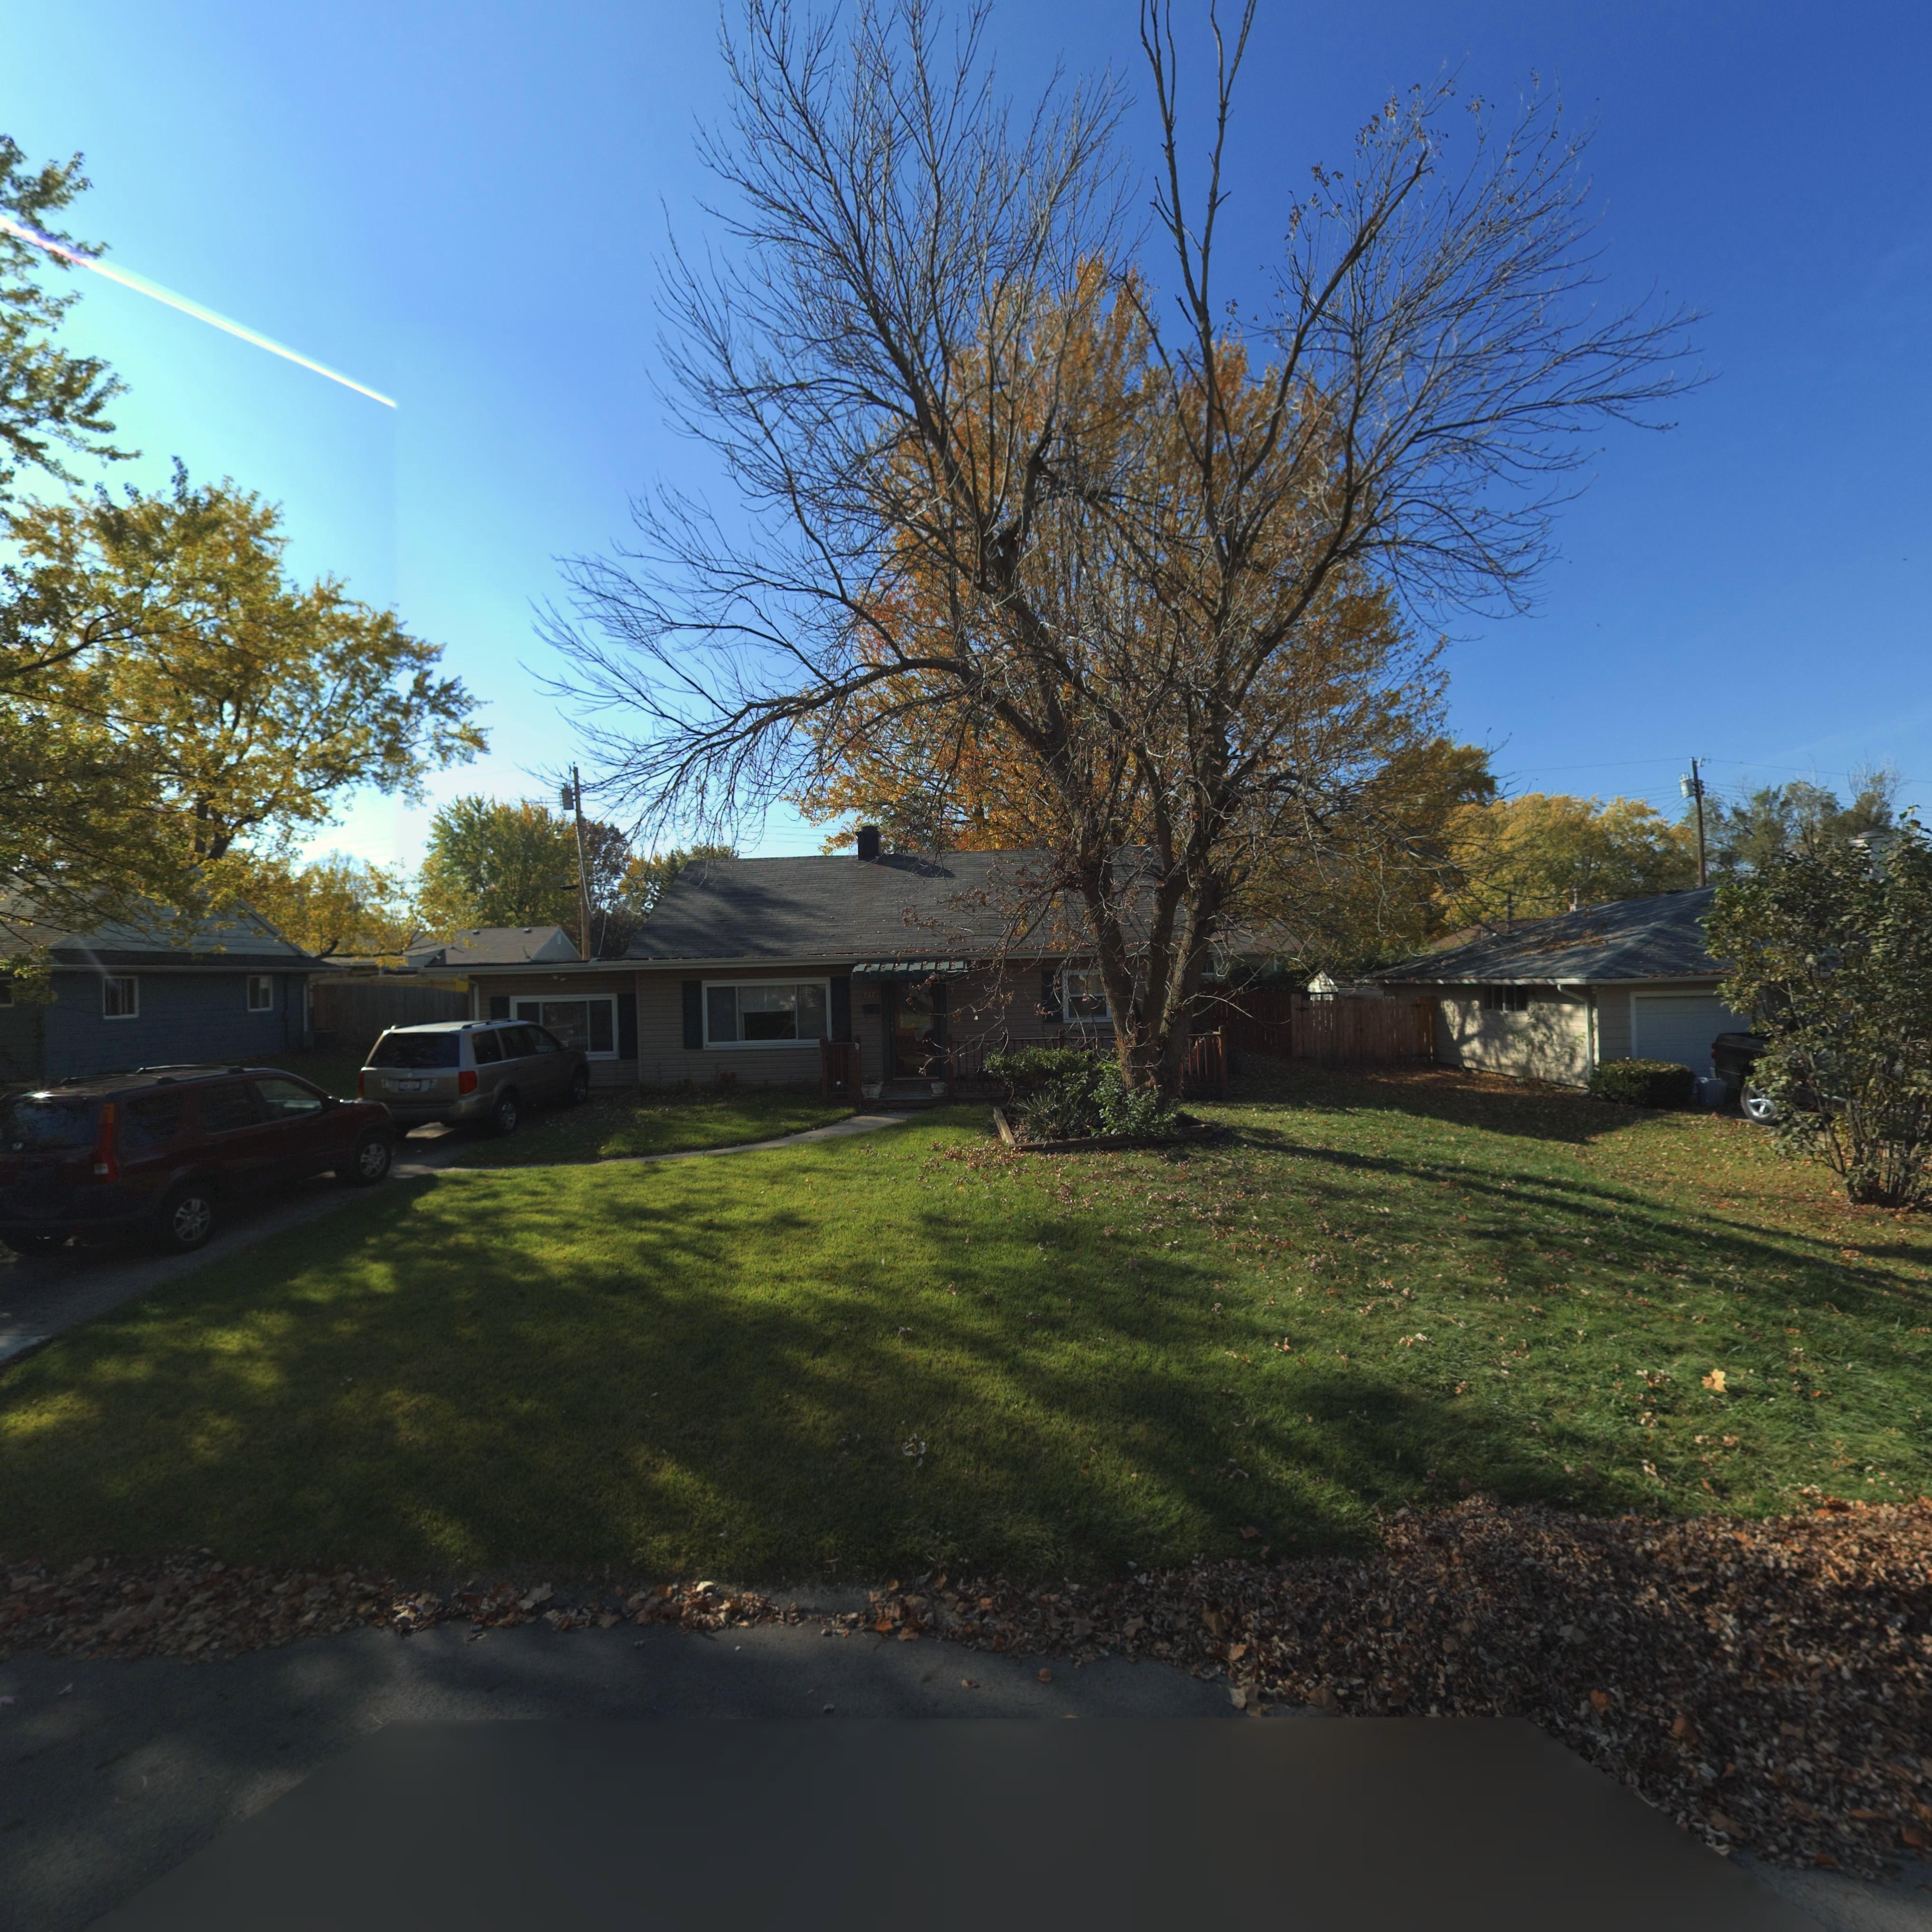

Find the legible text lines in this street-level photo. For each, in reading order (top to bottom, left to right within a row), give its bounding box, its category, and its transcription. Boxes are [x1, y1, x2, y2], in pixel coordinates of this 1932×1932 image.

[861, 991, 876, 998] StreetNumber: 737